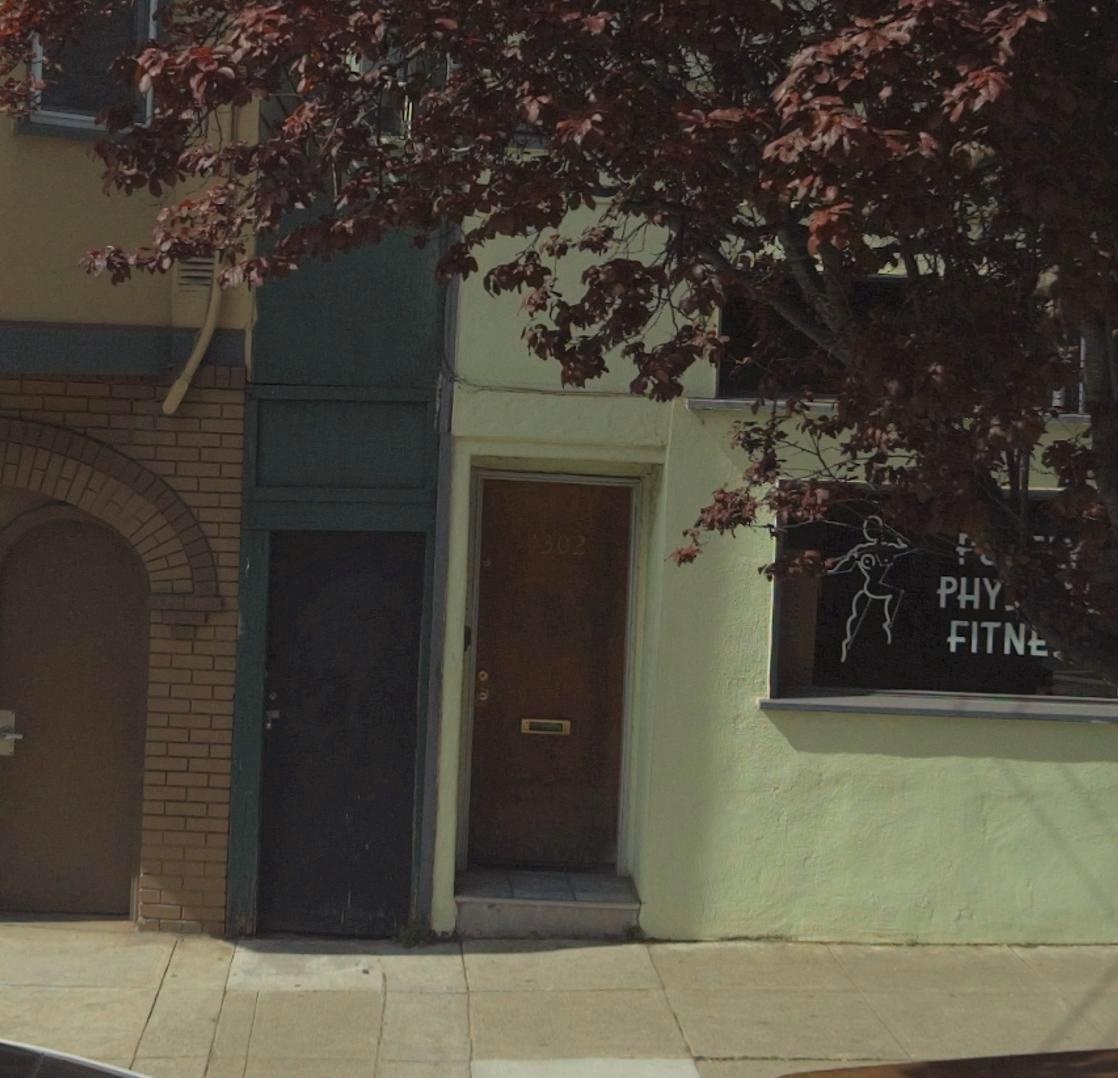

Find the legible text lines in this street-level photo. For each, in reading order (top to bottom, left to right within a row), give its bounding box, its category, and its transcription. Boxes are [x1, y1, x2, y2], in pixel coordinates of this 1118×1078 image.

[525, 532, 587, 557] StreetNumber: *302
[935, 574, 1009, 612] BusinessName: PHY
[947, 618, 1027, 657] BusinessName: FITN